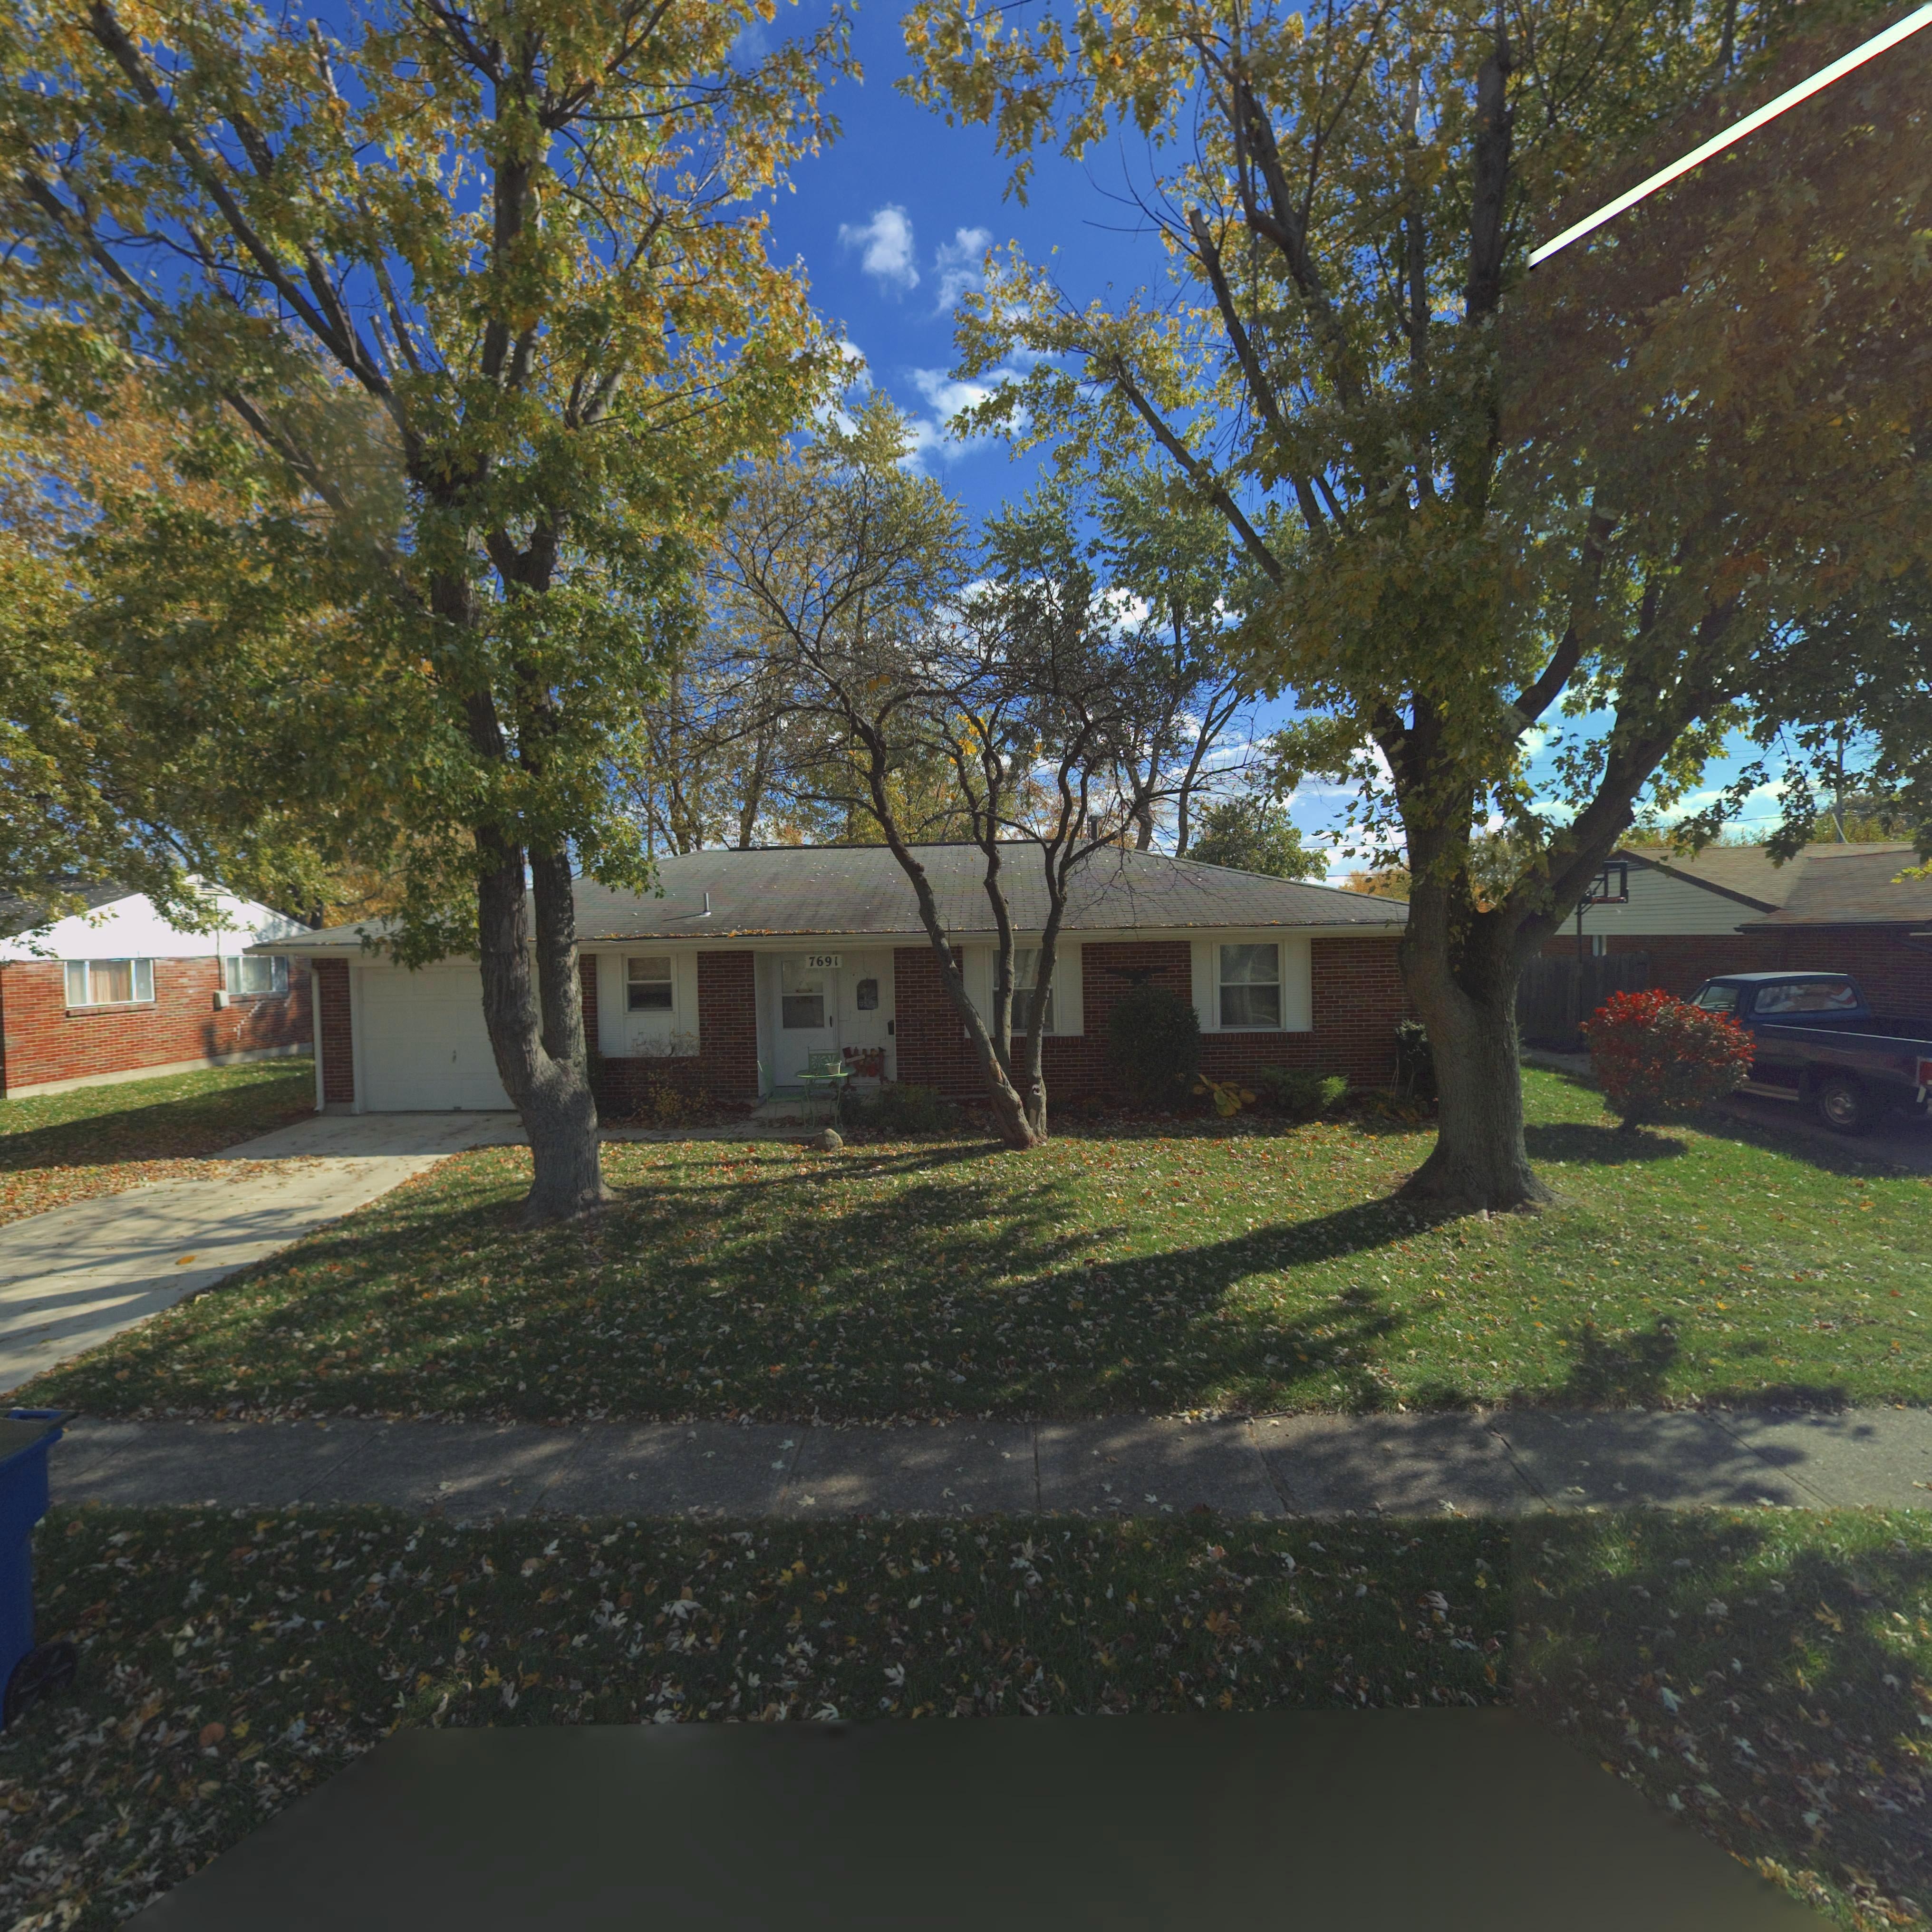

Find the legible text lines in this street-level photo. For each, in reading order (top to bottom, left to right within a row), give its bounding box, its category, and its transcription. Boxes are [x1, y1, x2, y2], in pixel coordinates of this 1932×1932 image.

[808, 955, 840, 968] StreetNumber: 7691